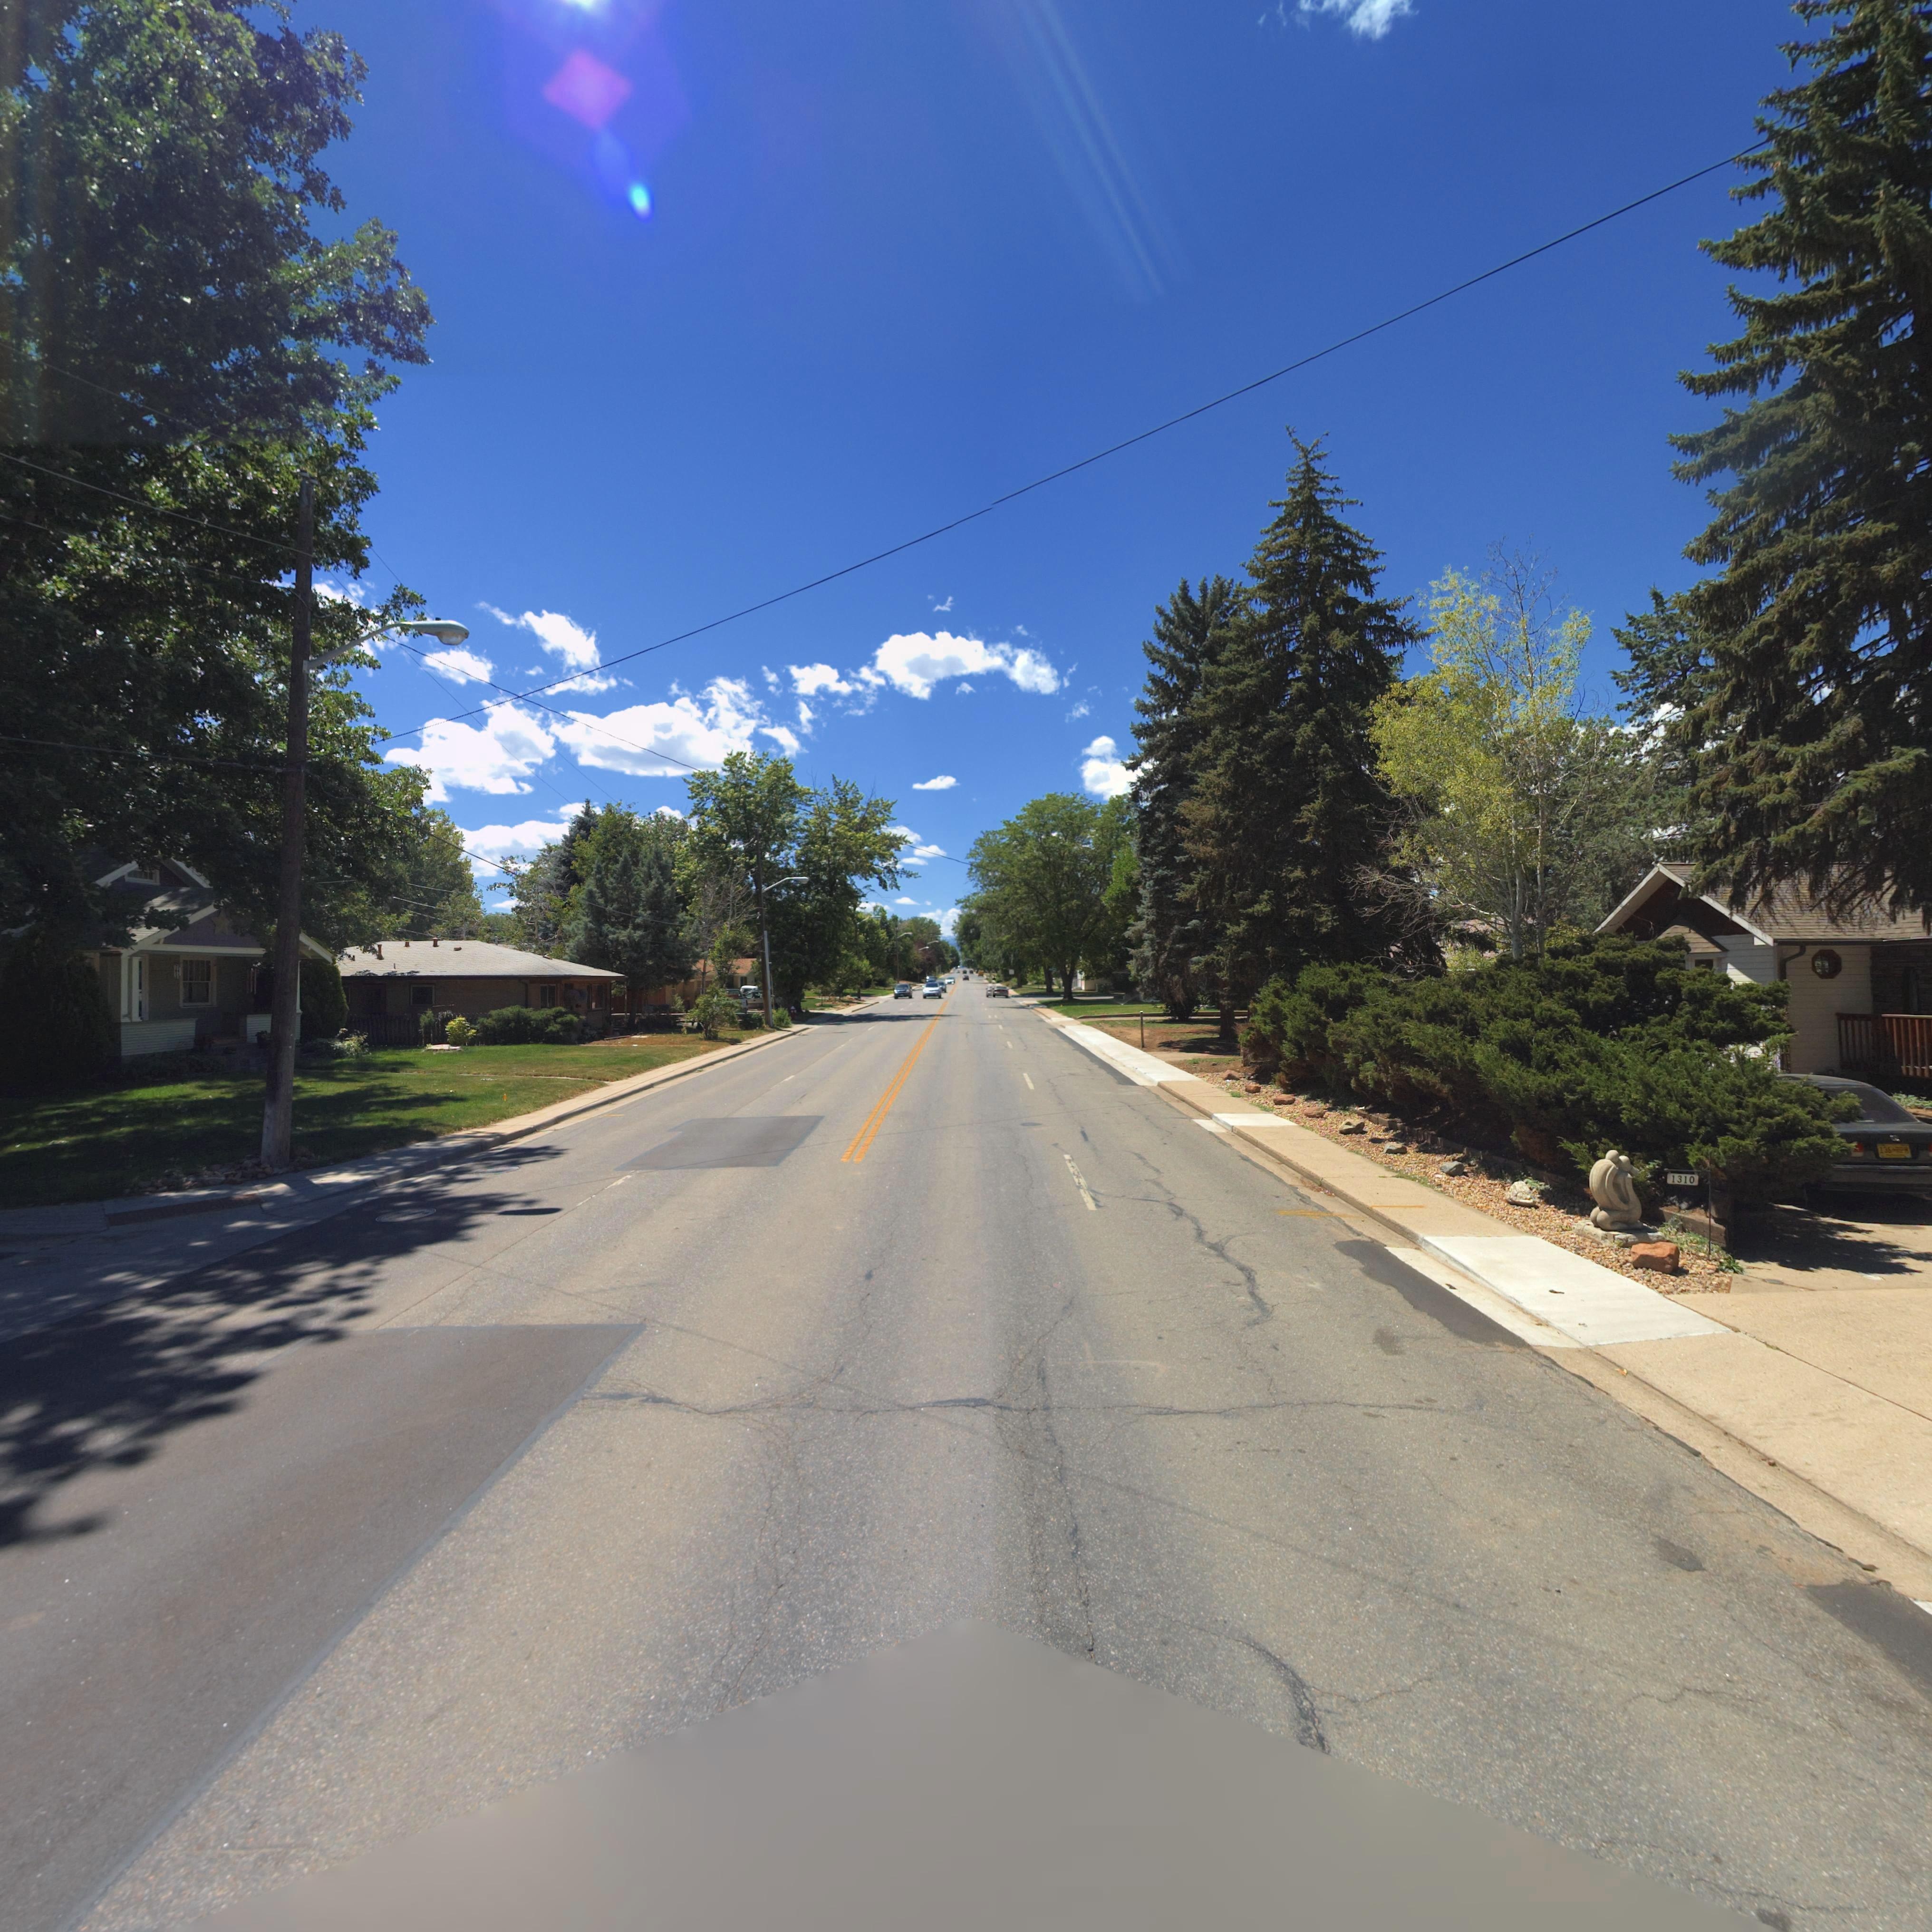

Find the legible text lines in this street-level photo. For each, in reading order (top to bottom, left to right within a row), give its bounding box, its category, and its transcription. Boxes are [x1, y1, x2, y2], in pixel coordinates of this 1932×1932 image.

[1672, 1175, 1694, 1184] StreetNumber: 1310